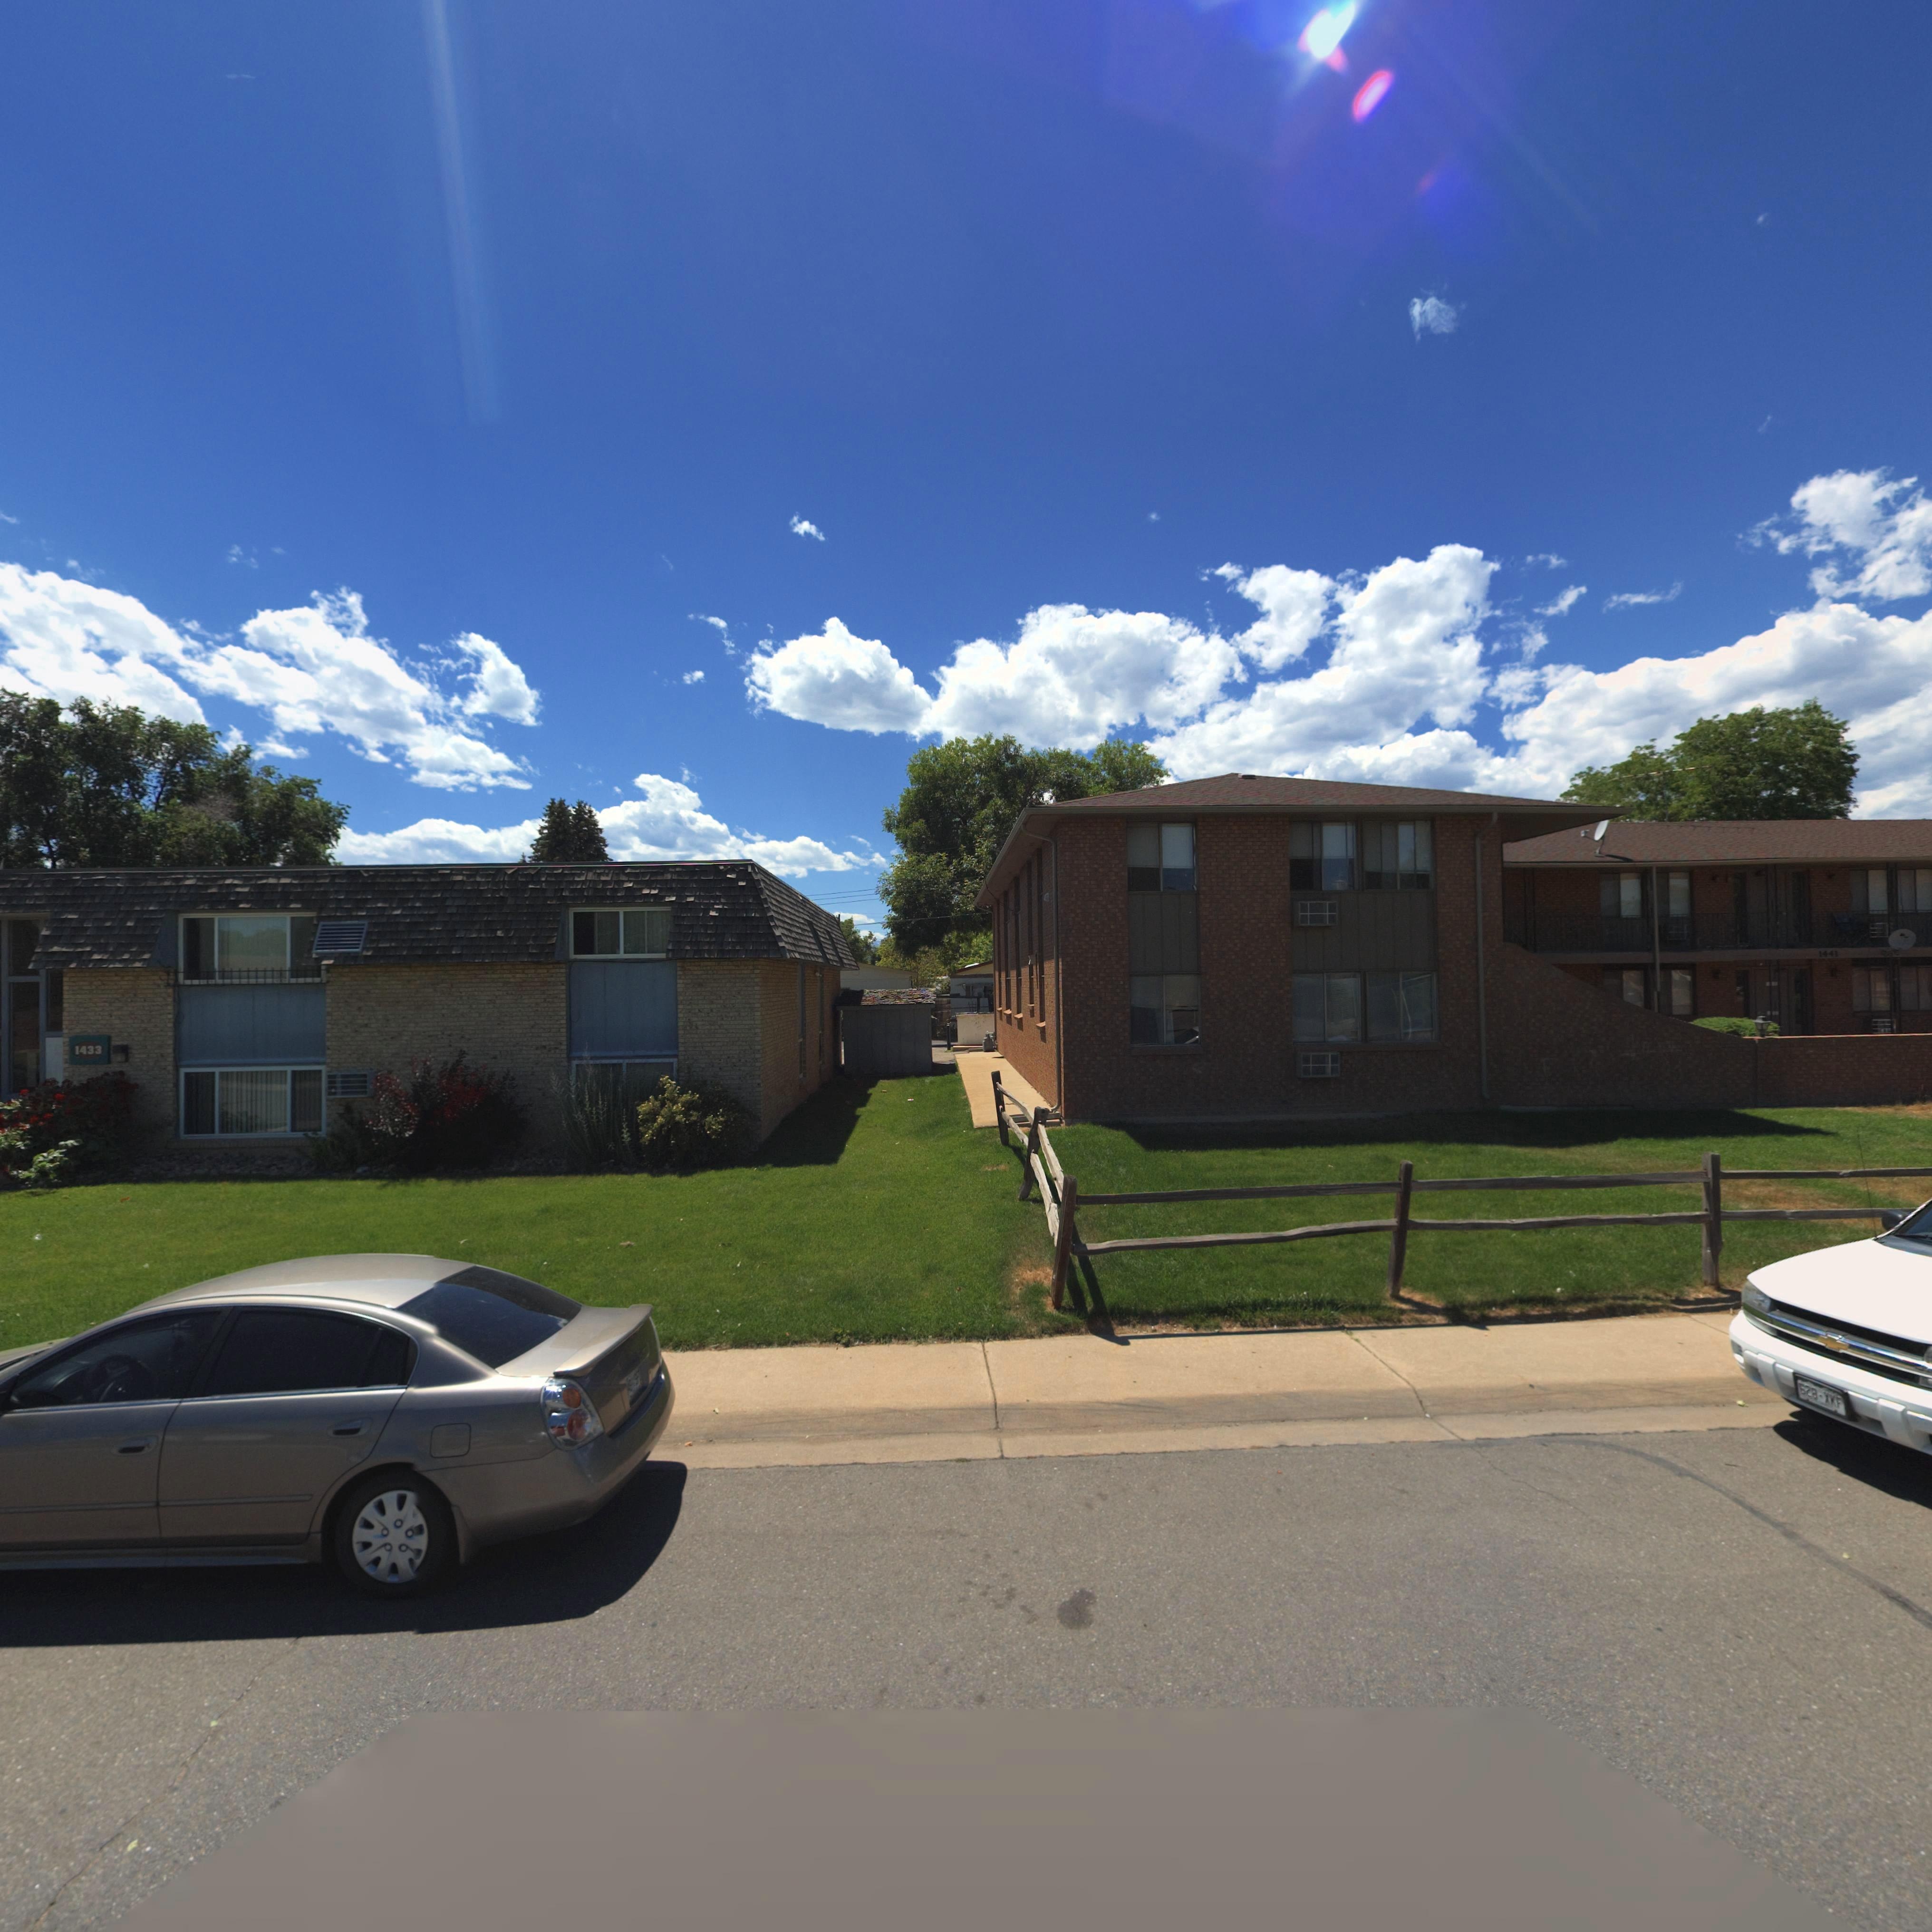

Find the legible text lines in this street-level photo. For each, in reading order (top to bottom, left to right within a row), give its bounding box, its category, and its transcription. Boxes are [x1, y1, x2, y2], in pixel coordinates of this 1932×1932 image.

[1818, 949, 1838, 957] StreetNumber: 1441
[74, 1044, 102, 1055] StreetNumber: 1433